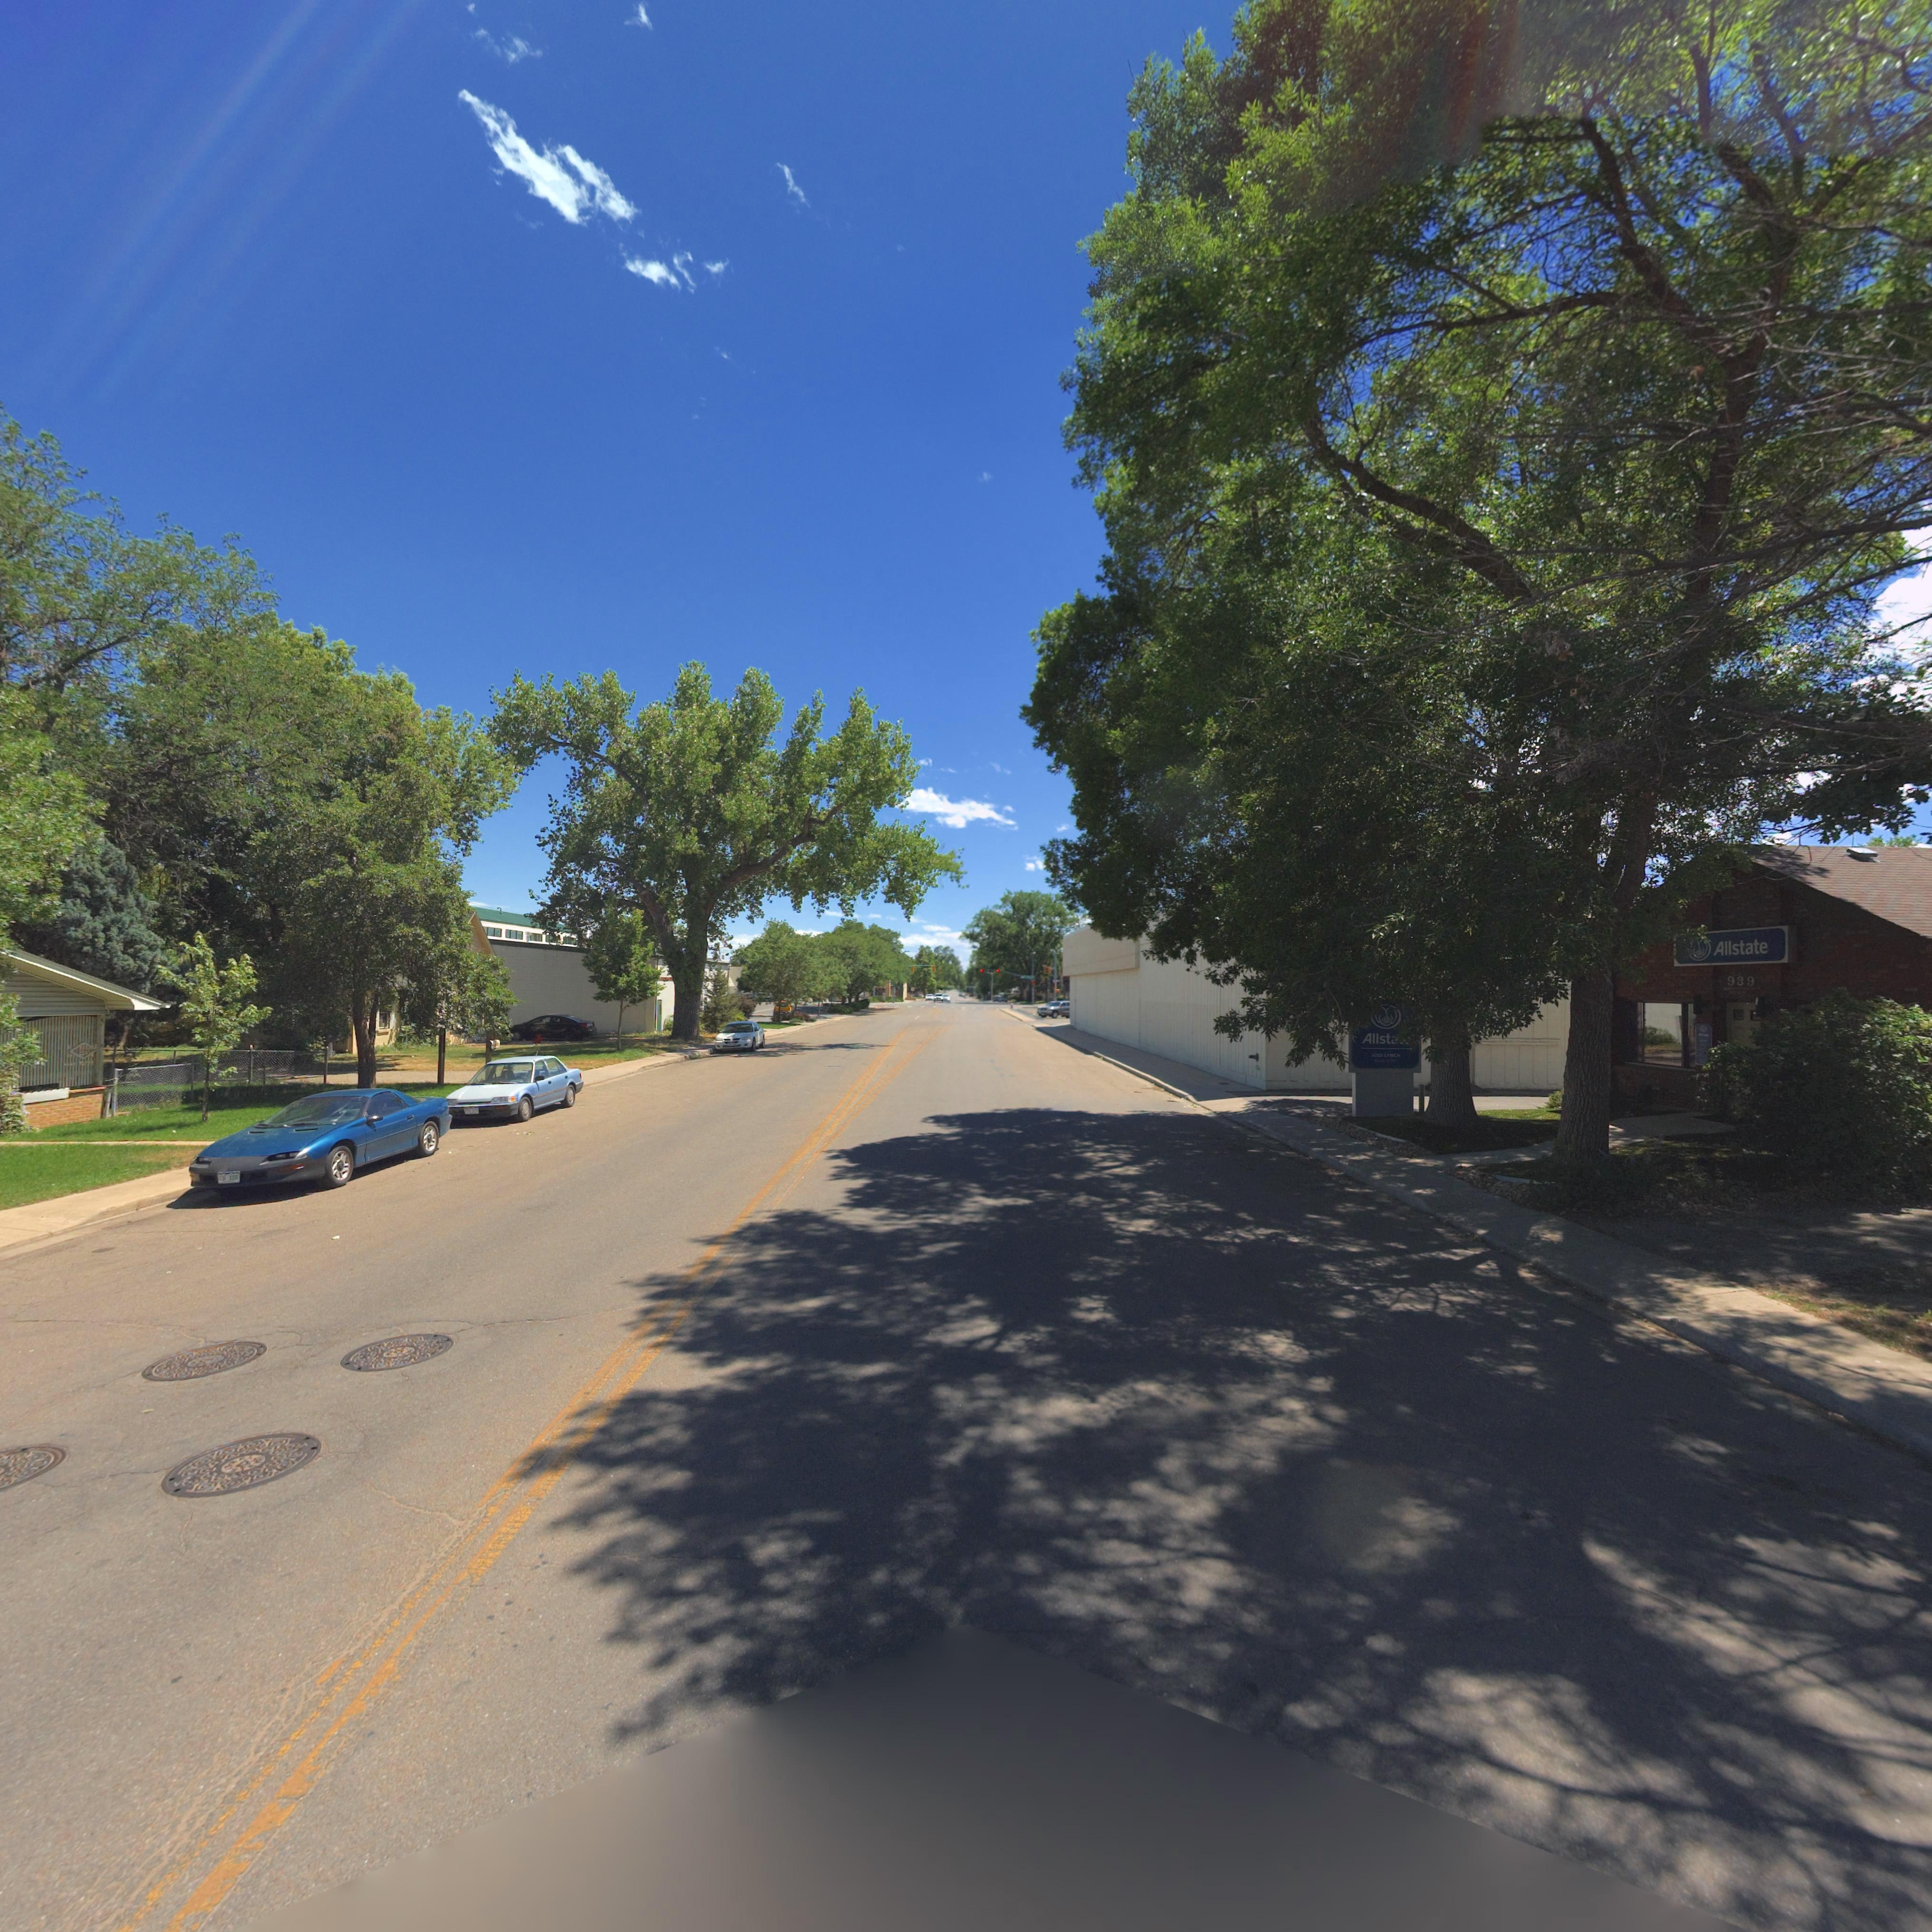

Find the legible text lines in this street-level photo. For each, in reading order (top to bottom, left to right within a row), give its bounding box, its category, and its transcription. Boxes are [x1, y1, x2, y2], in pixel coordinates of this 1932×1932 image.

[1712, 938, 1768, 956] BusinessName: Allstate
[1727, 975, 1754, 987] StreetNumber: 939
[1362, 1032, 1391, 1044] BusinessName: Allst
[1371, 1053, 1401, 1058] BusinessName: JODI LYNCH